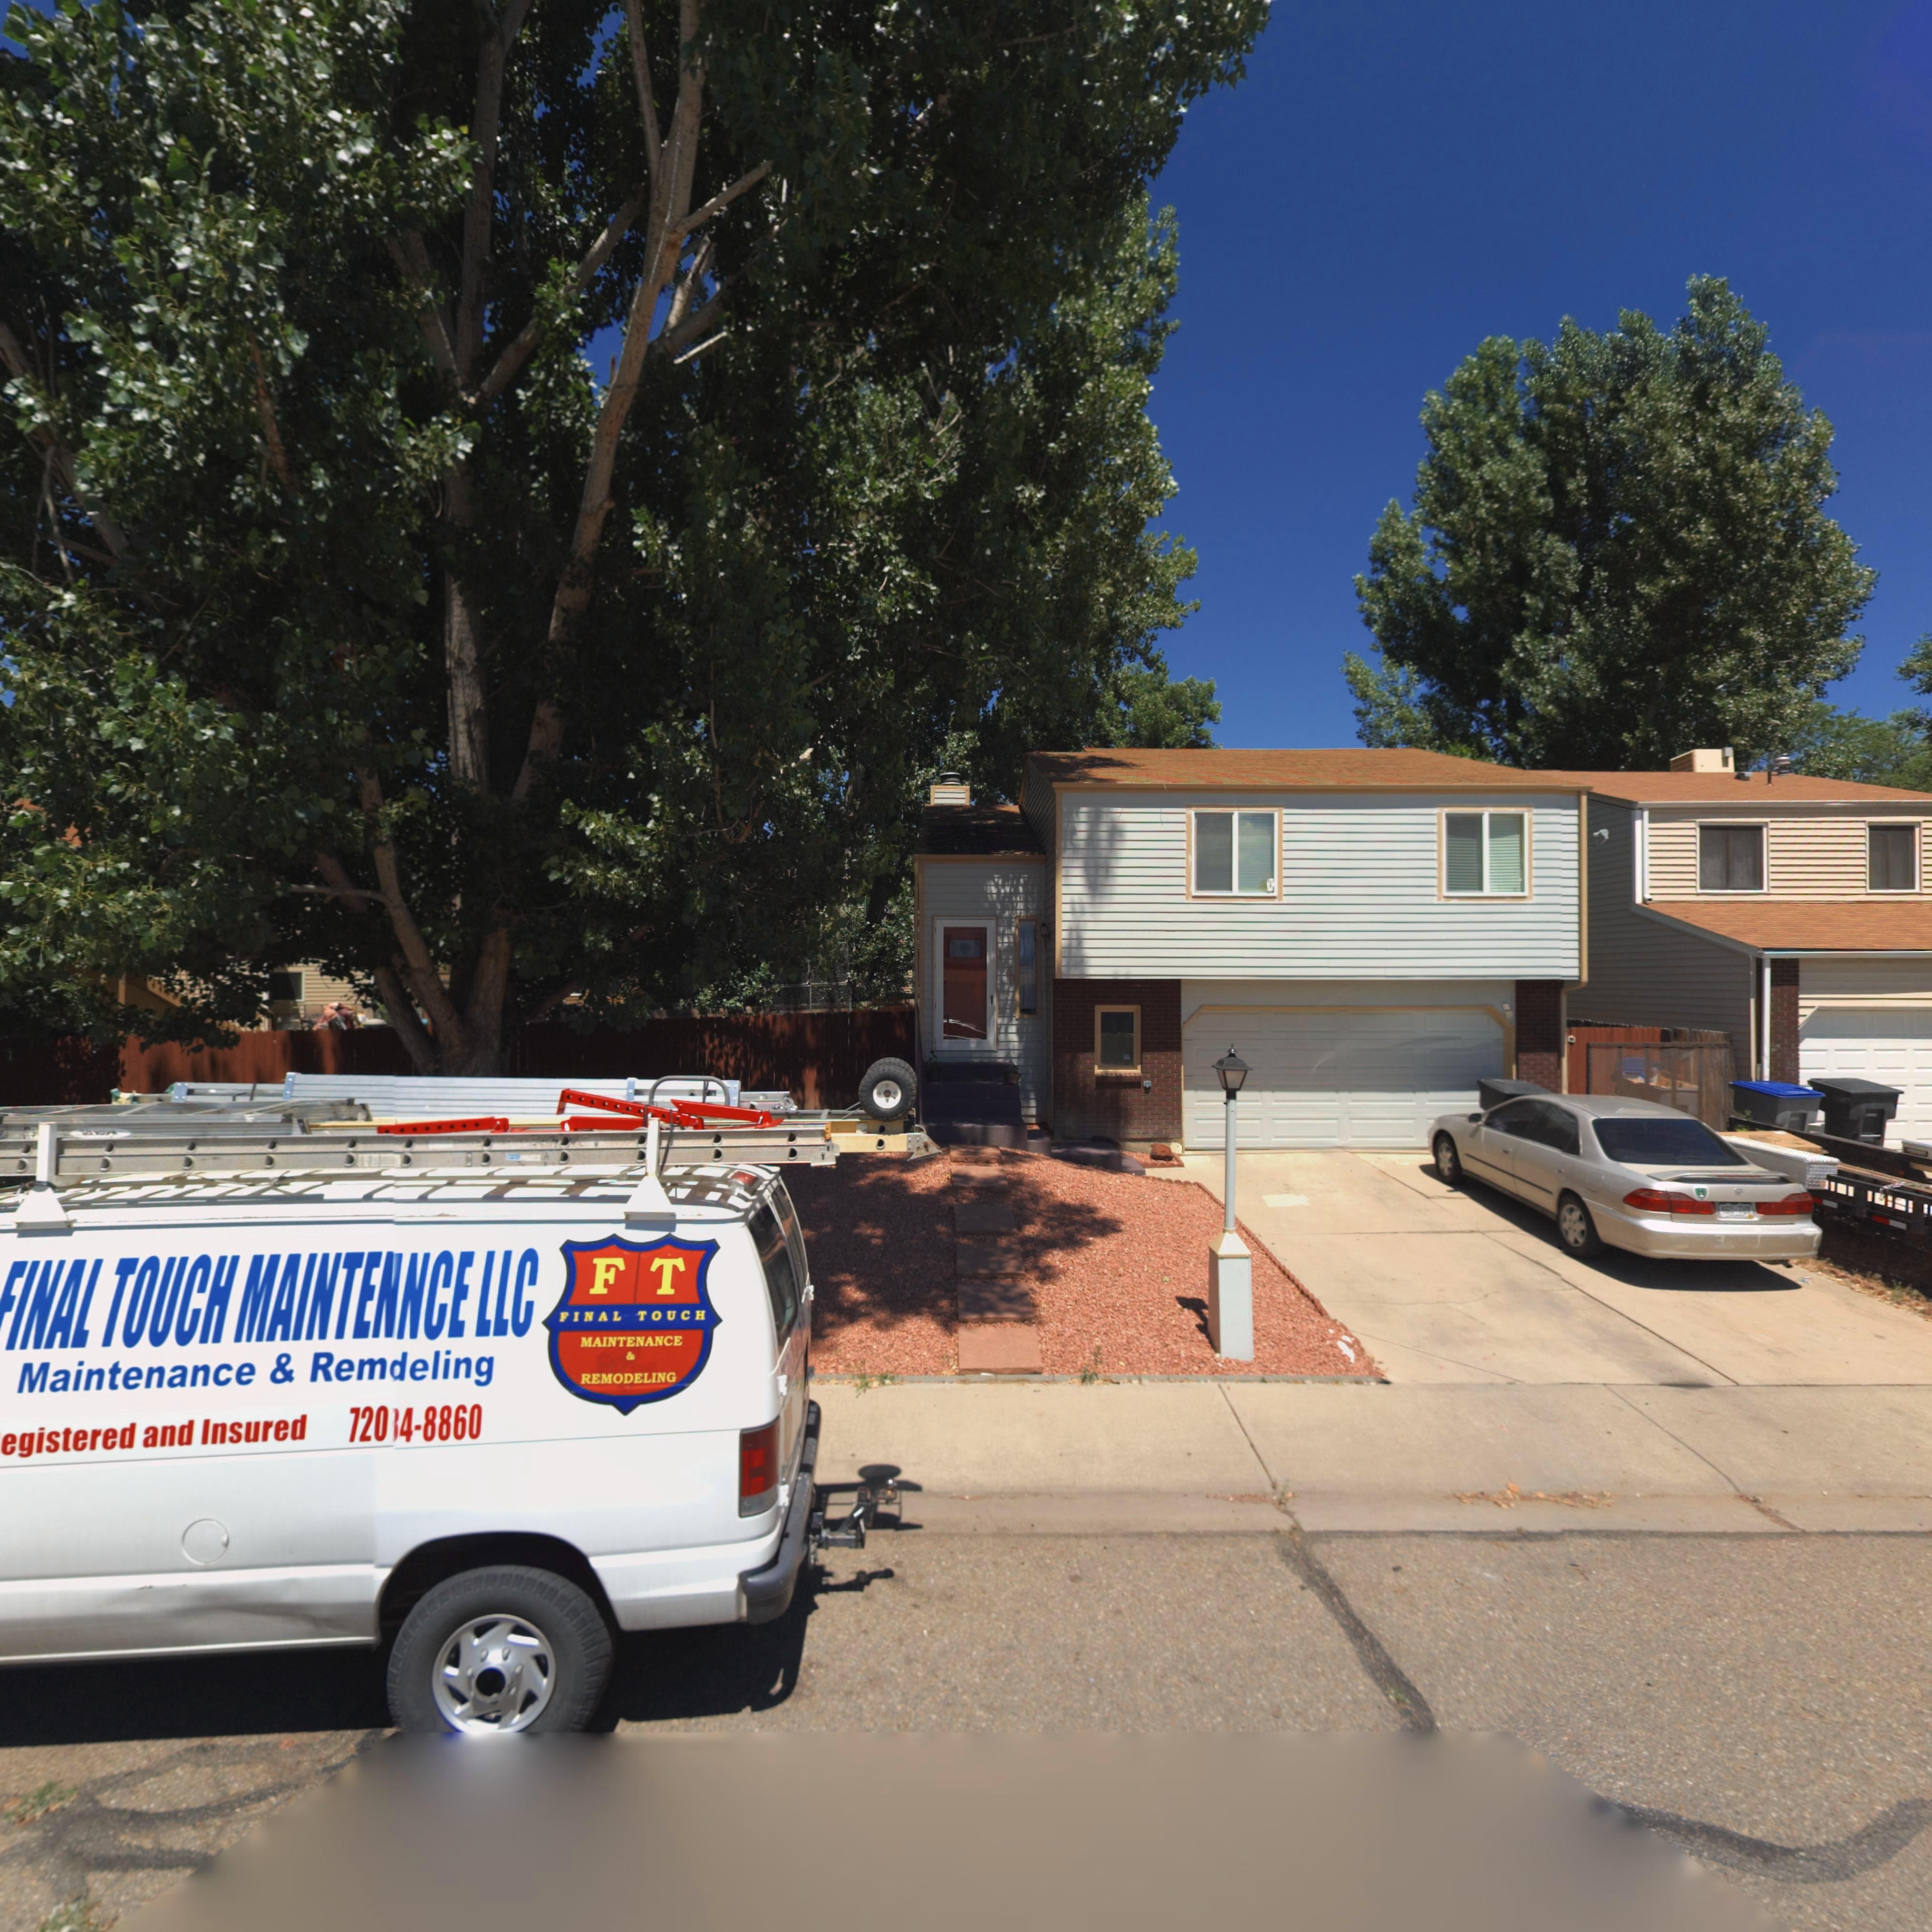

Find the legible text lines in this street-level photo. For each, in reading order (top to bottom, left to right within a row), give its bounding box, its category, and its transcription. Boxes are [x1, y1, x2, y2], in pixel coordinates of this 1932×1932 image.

[998, 950, 1015, 985] StreetNumber: 1160